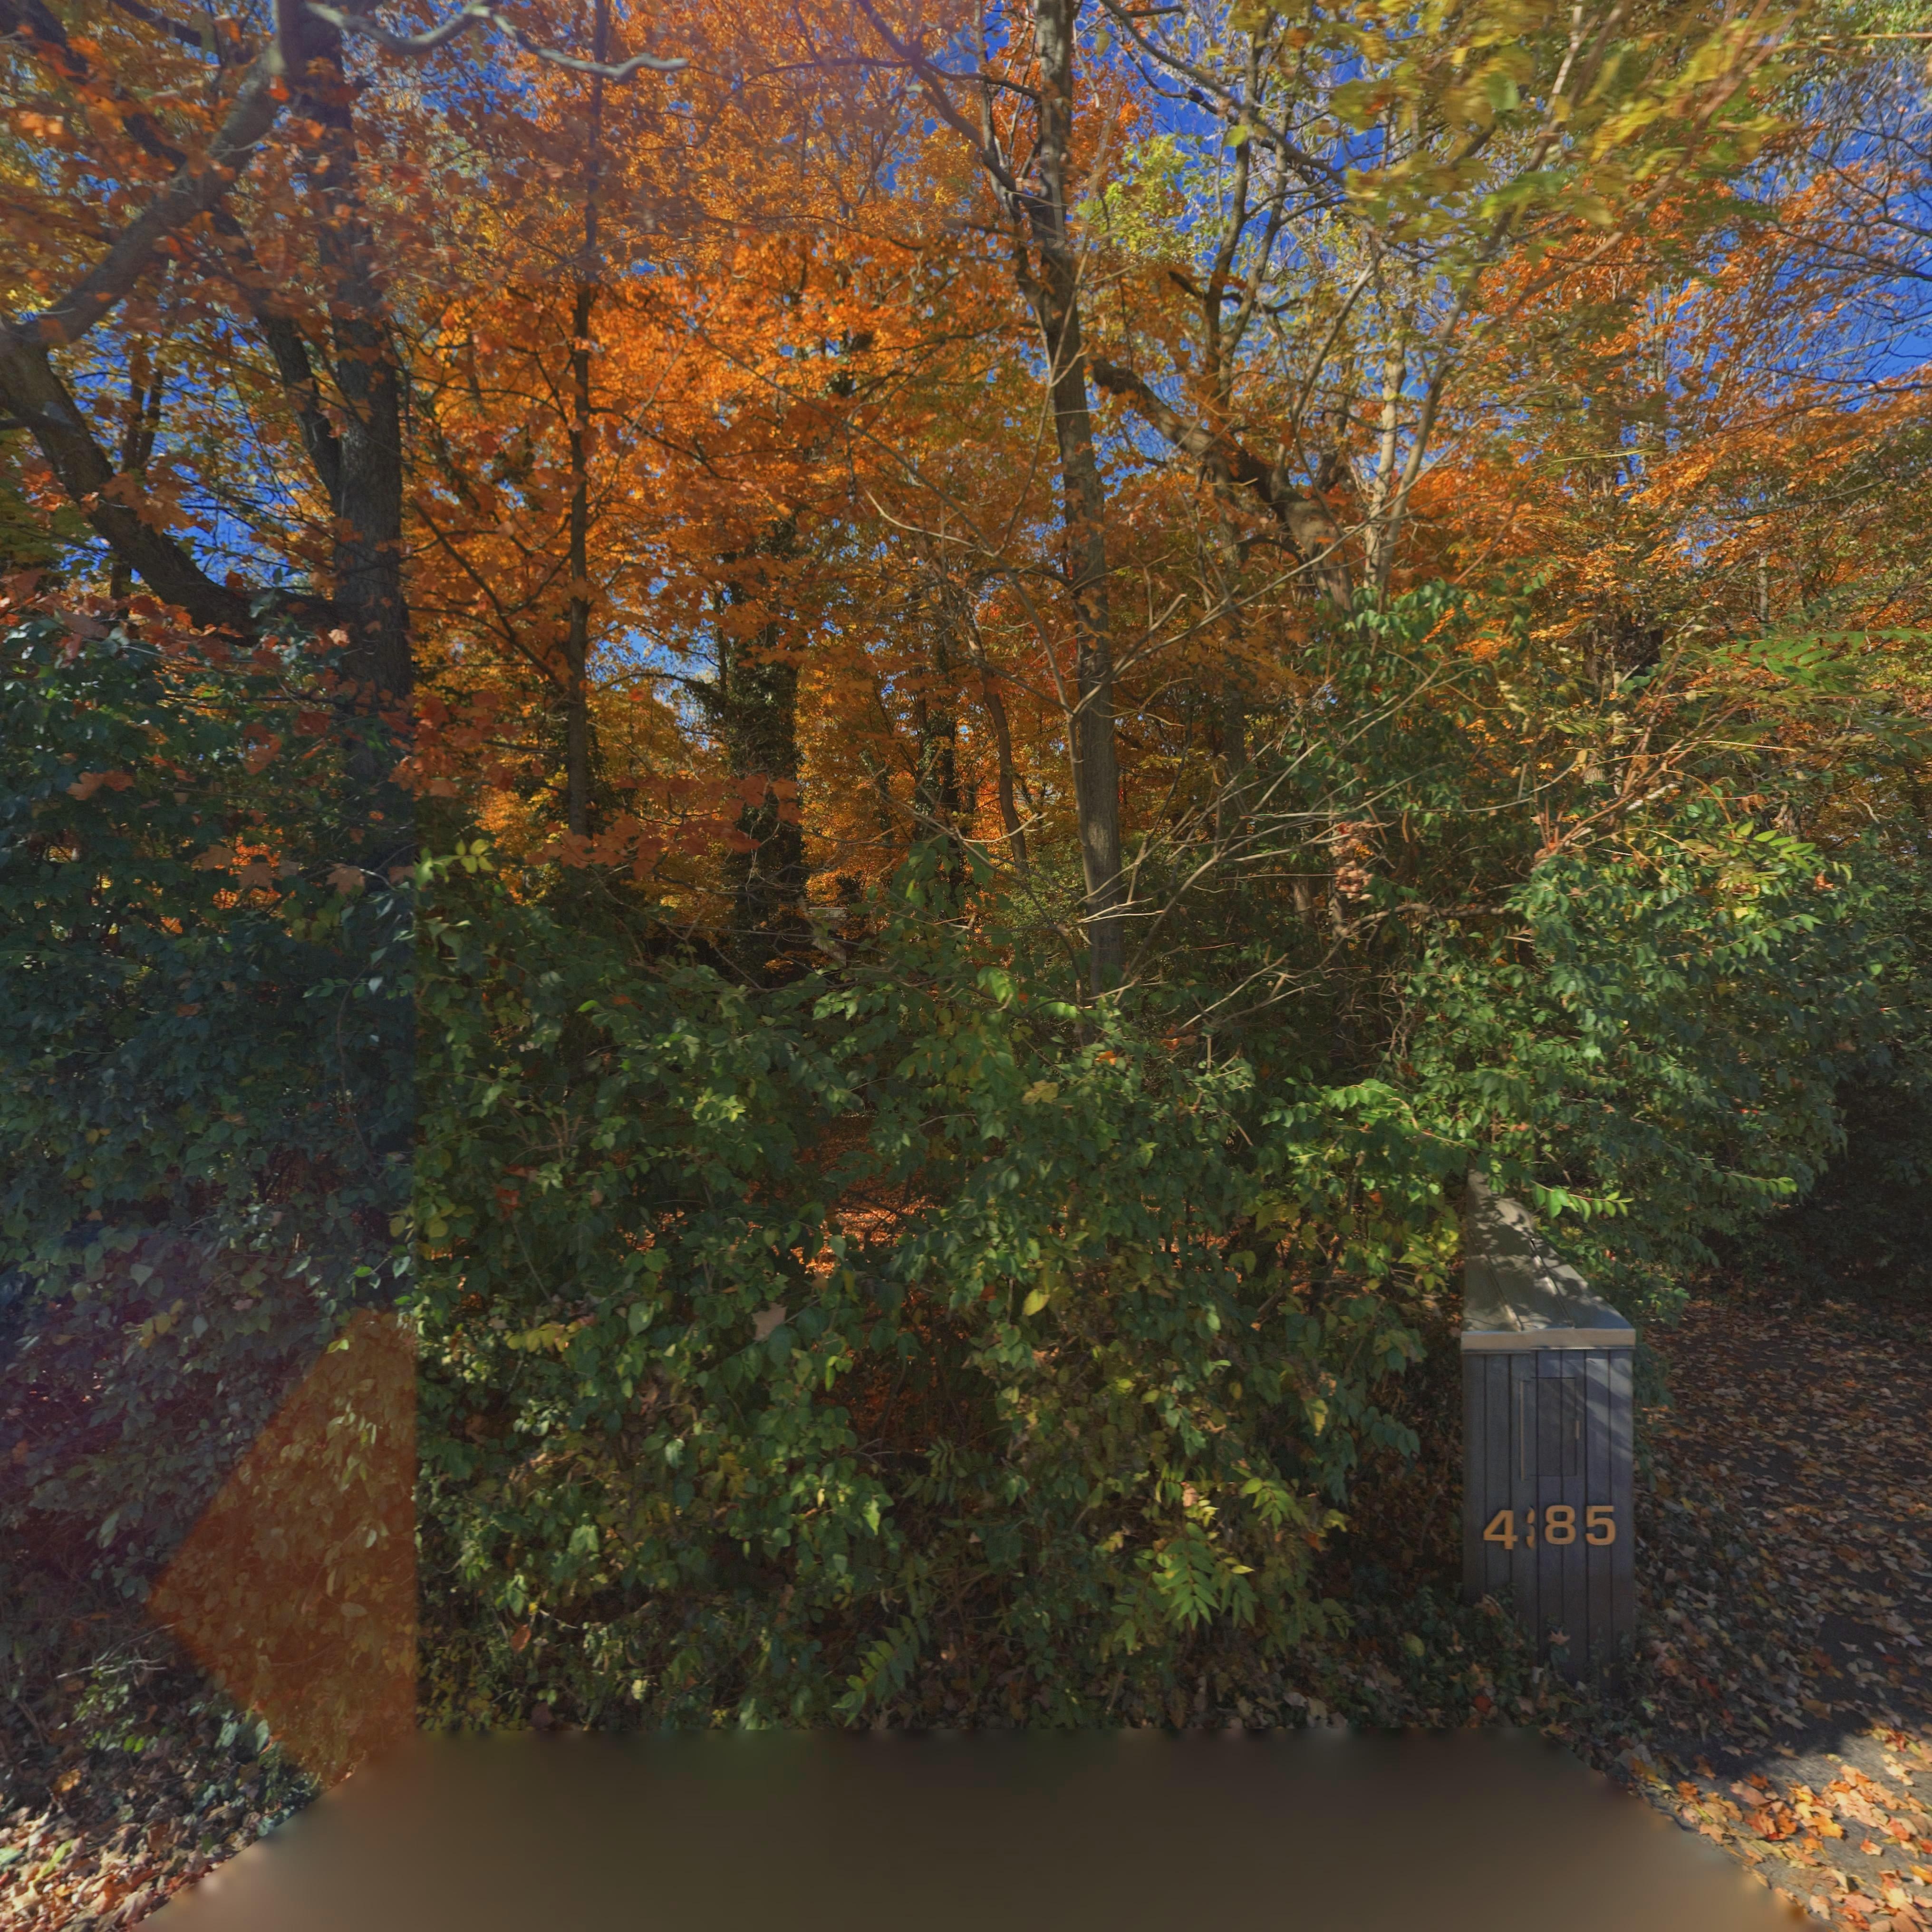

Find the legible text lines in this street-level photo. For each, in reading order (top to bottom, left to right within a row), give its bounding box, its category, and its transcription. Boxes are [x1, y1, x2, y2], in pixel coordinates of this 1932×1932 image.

[1481, 1502, 1617, 1552] StreetNumber: 4*85